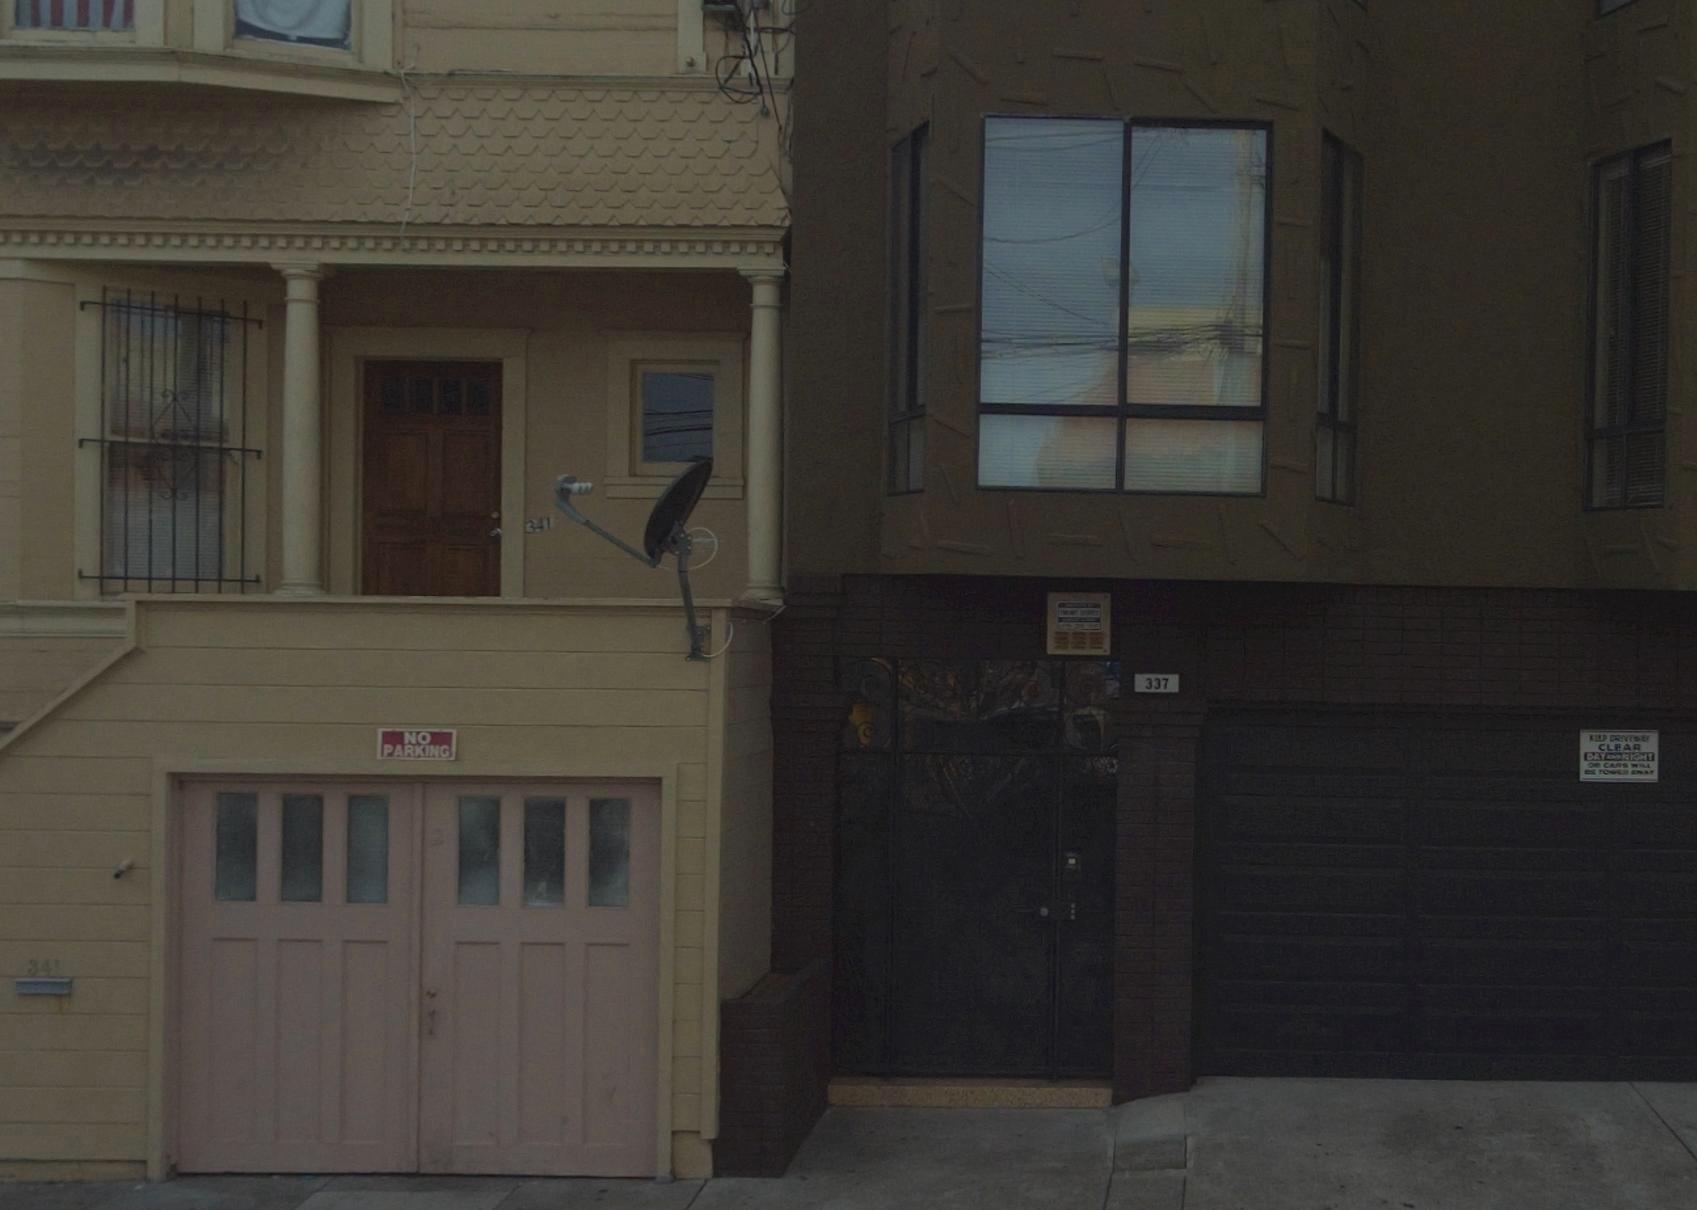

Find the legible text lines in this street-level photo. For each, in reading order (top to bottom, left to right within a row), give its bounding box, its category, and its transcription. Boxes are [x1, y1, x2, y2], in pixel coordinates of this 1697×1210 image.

[523, 515, 553, 536] StreetNumber: 341
[1144, 676, 1170, 691] StreetNumber: 337
[402, 731, 432, 745] None: NO
[382, 743, 450, 758] None: PARKING
[1586, 752, 1606, 761] None: DAY
[1598, 743, 1641, 752] None: CLEAR
[1621, 752, 1654, 761] None: NIGHT
[26, 957, 62, 978] StreetNumber: 341